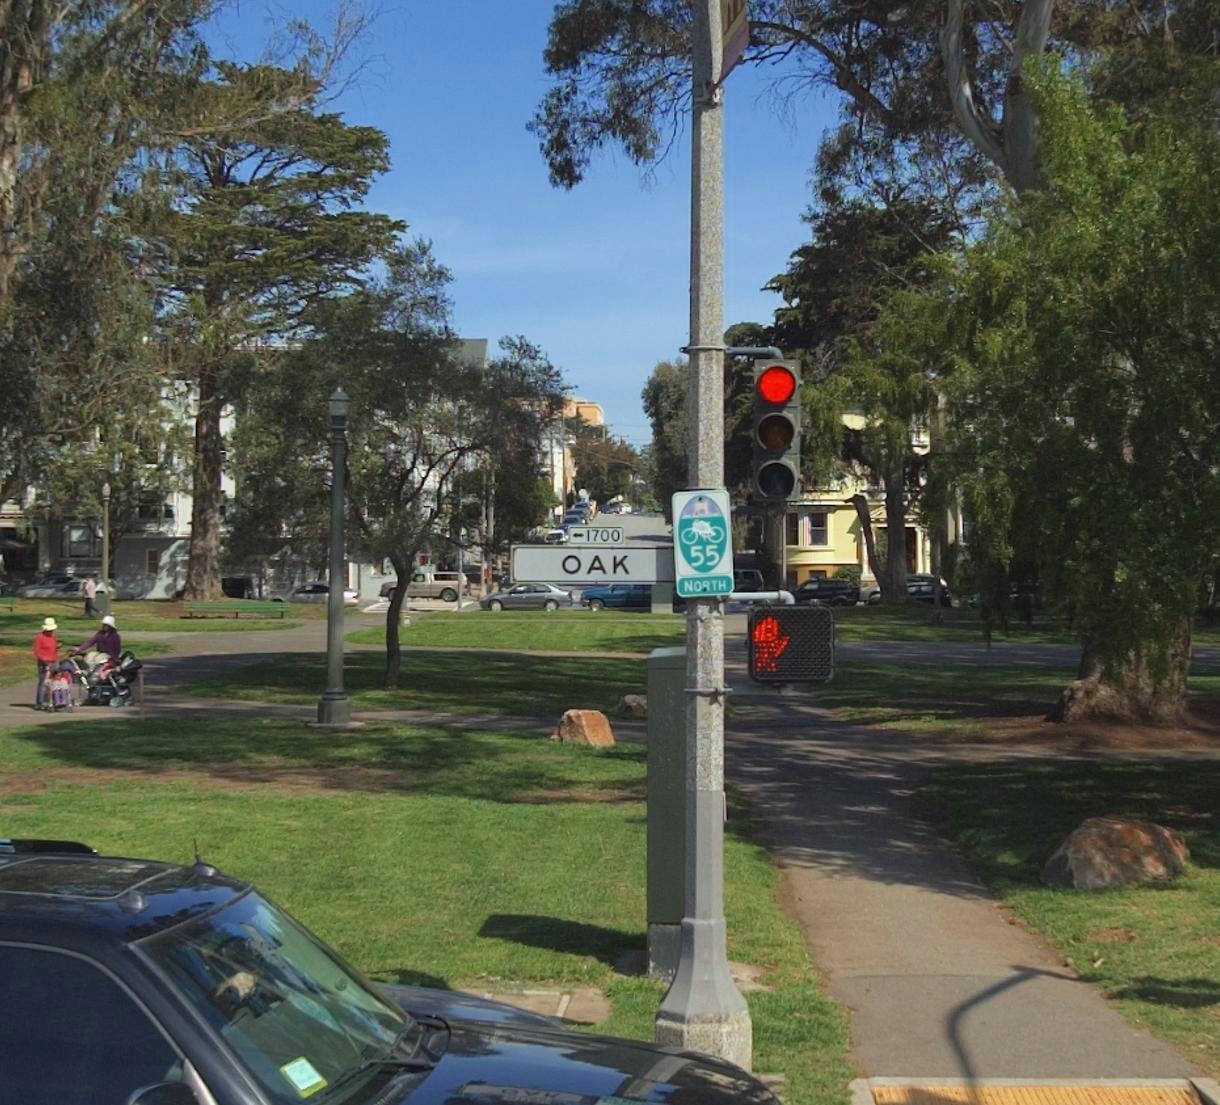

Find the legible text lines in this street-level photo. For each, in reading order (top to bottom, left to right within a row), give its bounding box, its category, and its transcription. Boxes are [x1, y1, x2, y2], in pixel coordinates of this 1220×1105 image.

[570, 528, 620, 542] StreetNumberRange: <-1700
[557, 551, 628, 574] StreetName: OAK
[690, 544, 719, 567] None: 55
[680, 577, 728, 592] None: NORTH